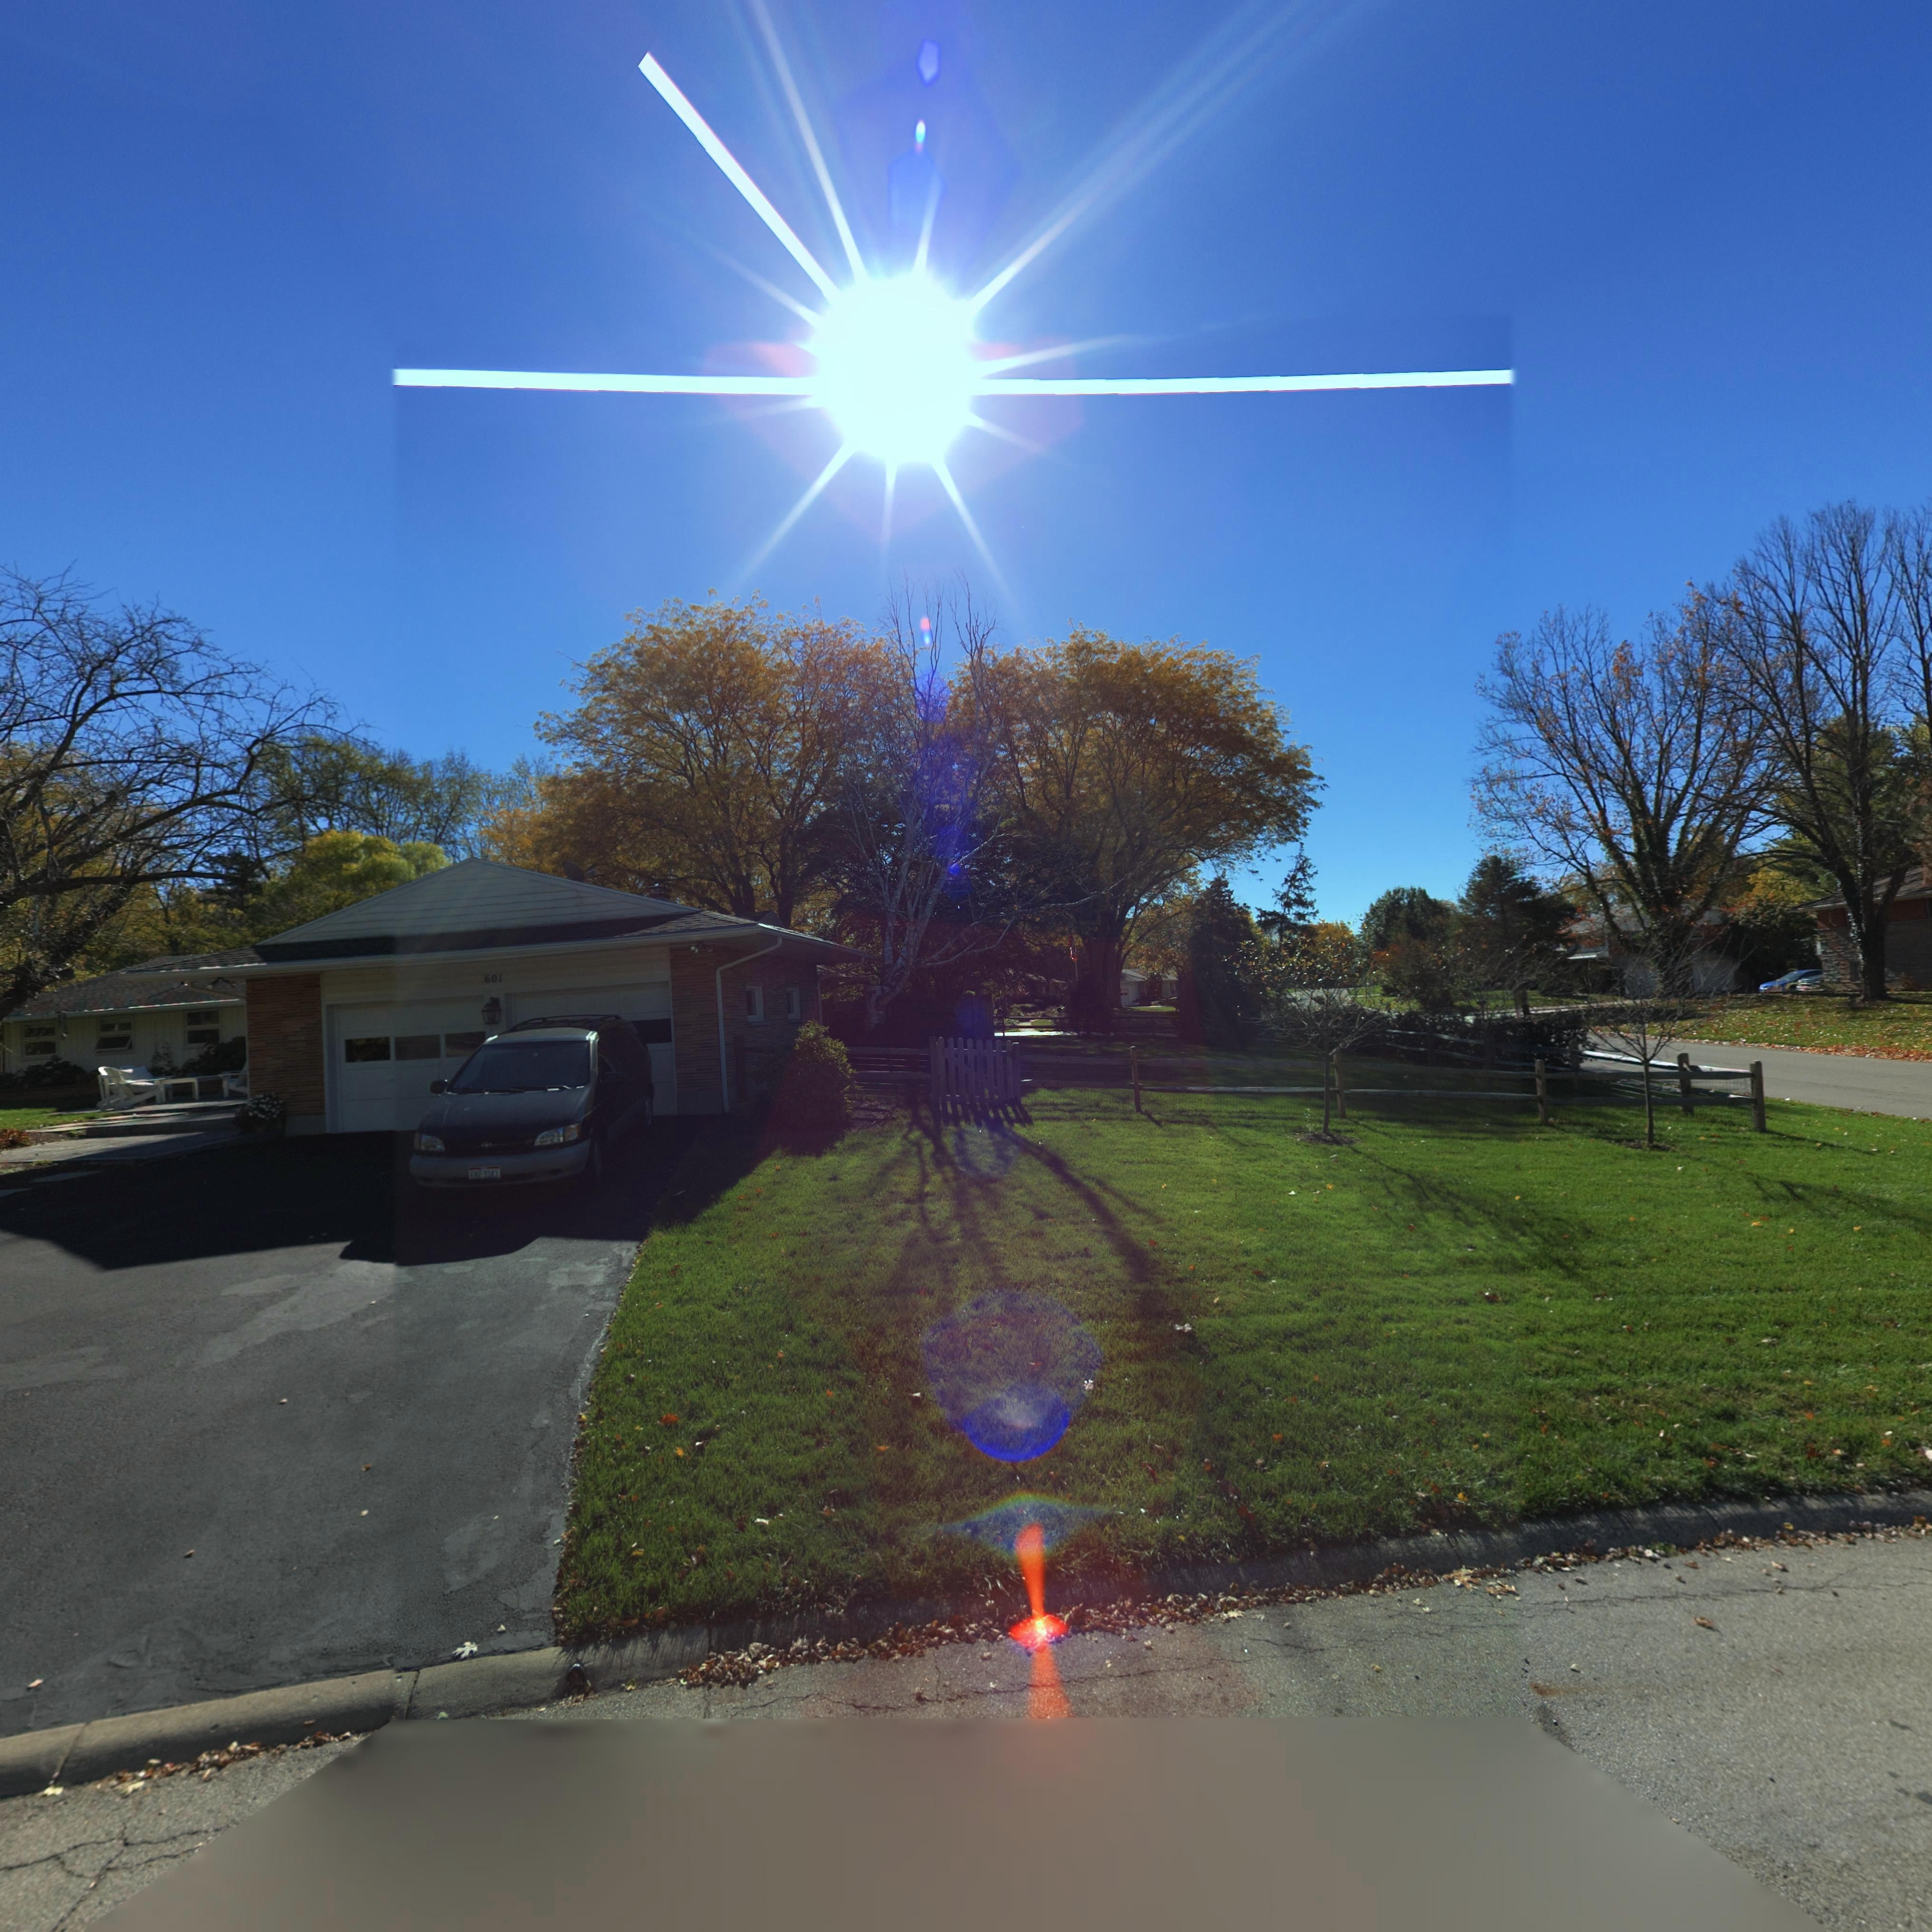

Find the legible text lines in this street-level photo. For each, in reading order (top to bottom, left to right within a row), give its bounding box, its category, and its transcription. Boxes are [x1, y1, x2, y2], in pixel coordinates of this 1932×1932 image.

[483, 972, 503, 985] StreetNumber: 601